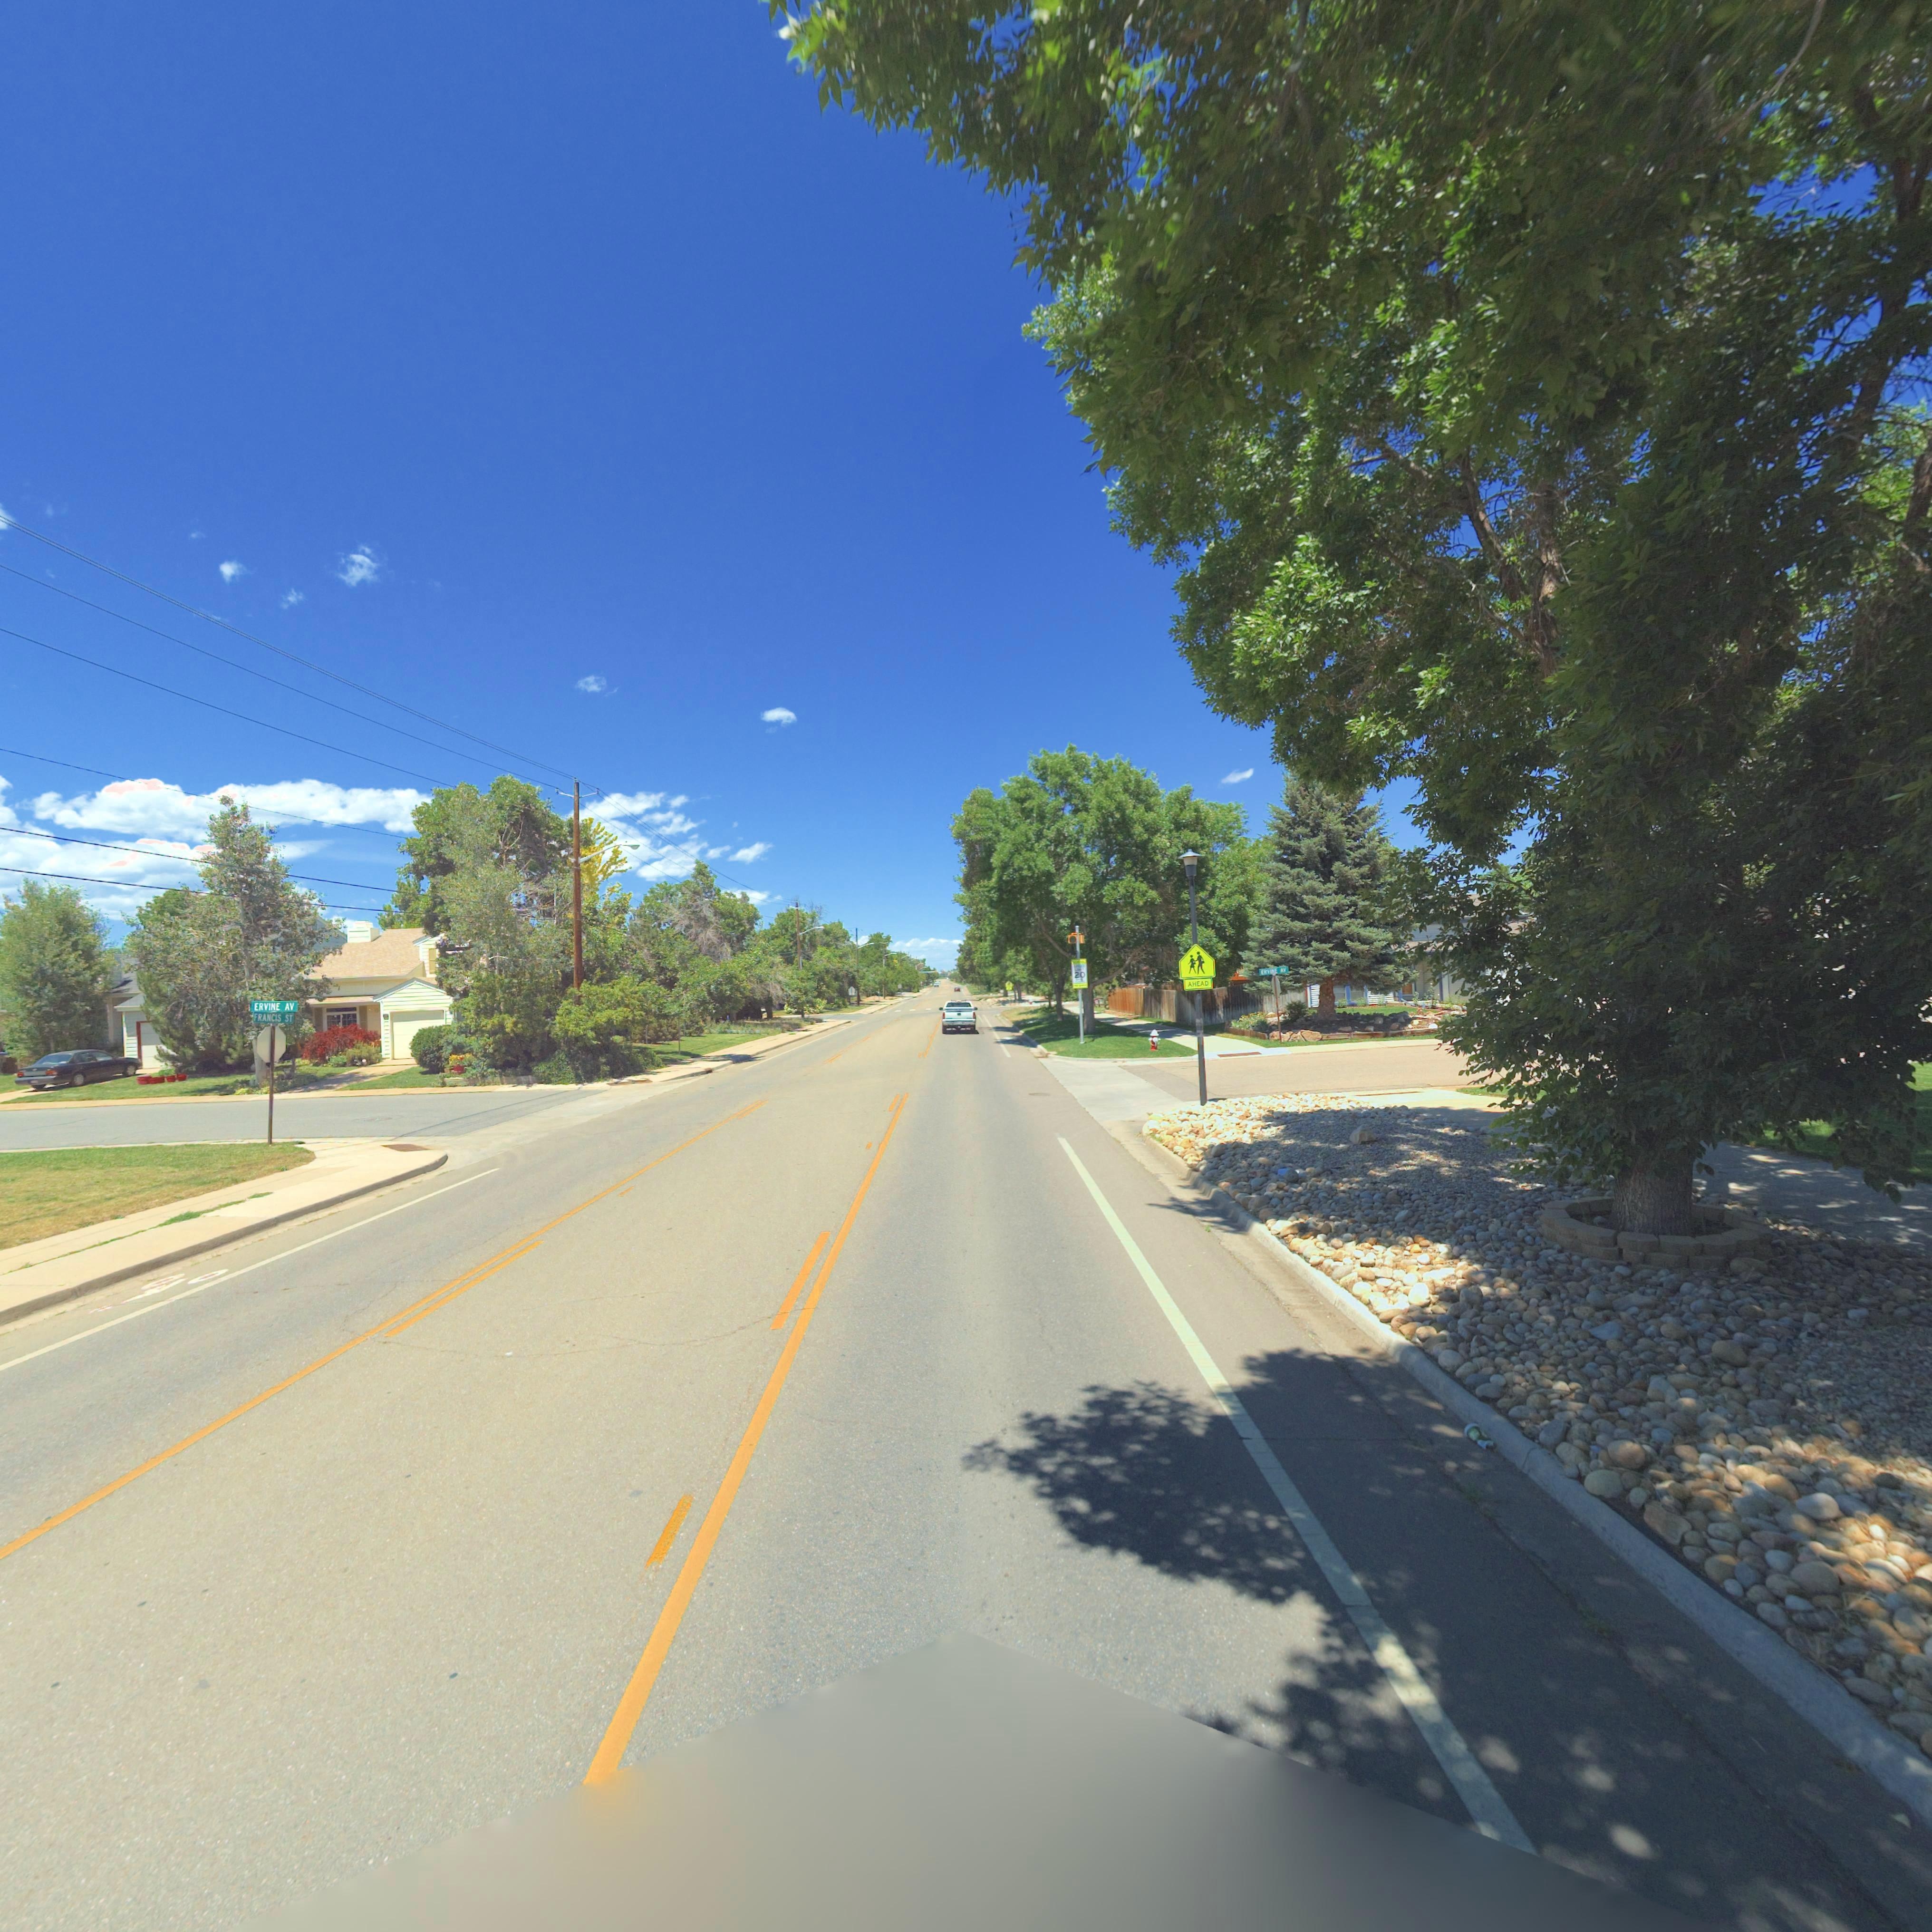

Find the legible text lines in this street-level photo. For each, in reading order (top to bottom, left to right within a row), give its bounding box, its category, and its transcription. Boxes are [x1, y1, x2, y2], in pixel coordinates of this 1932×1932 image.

[1260, 967, 1286, 975] StreetName: ERVINE AV
[253, 1002, 295, 1011] StreetName: ERVINE AV
[253, 1013, 293, 1022] StreetName: FRANCIS ST